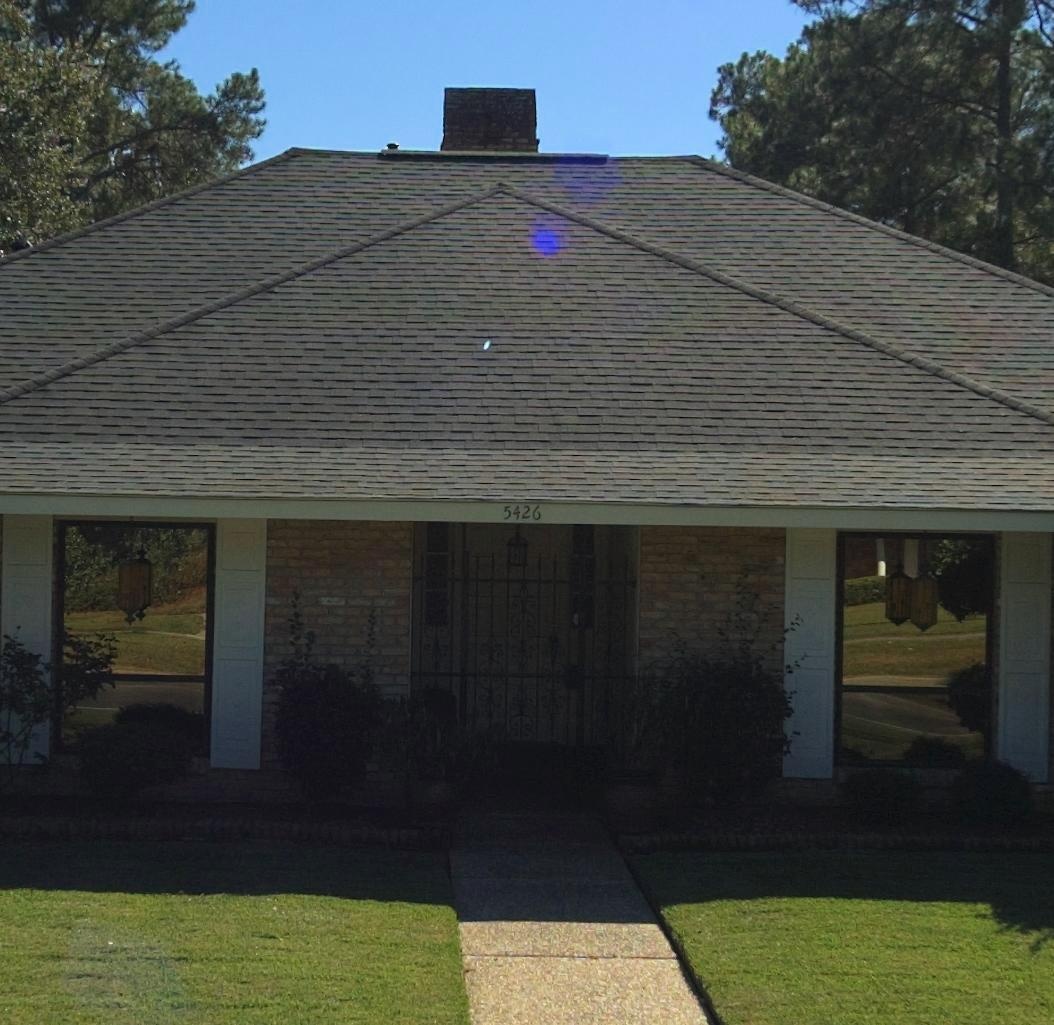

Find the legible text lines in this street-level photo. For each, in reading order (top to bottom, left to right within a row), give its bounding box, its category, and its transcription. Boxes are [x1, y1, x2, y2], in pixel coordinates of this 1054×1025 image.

[502, 503, 543, 523] StreetNumber: 5426